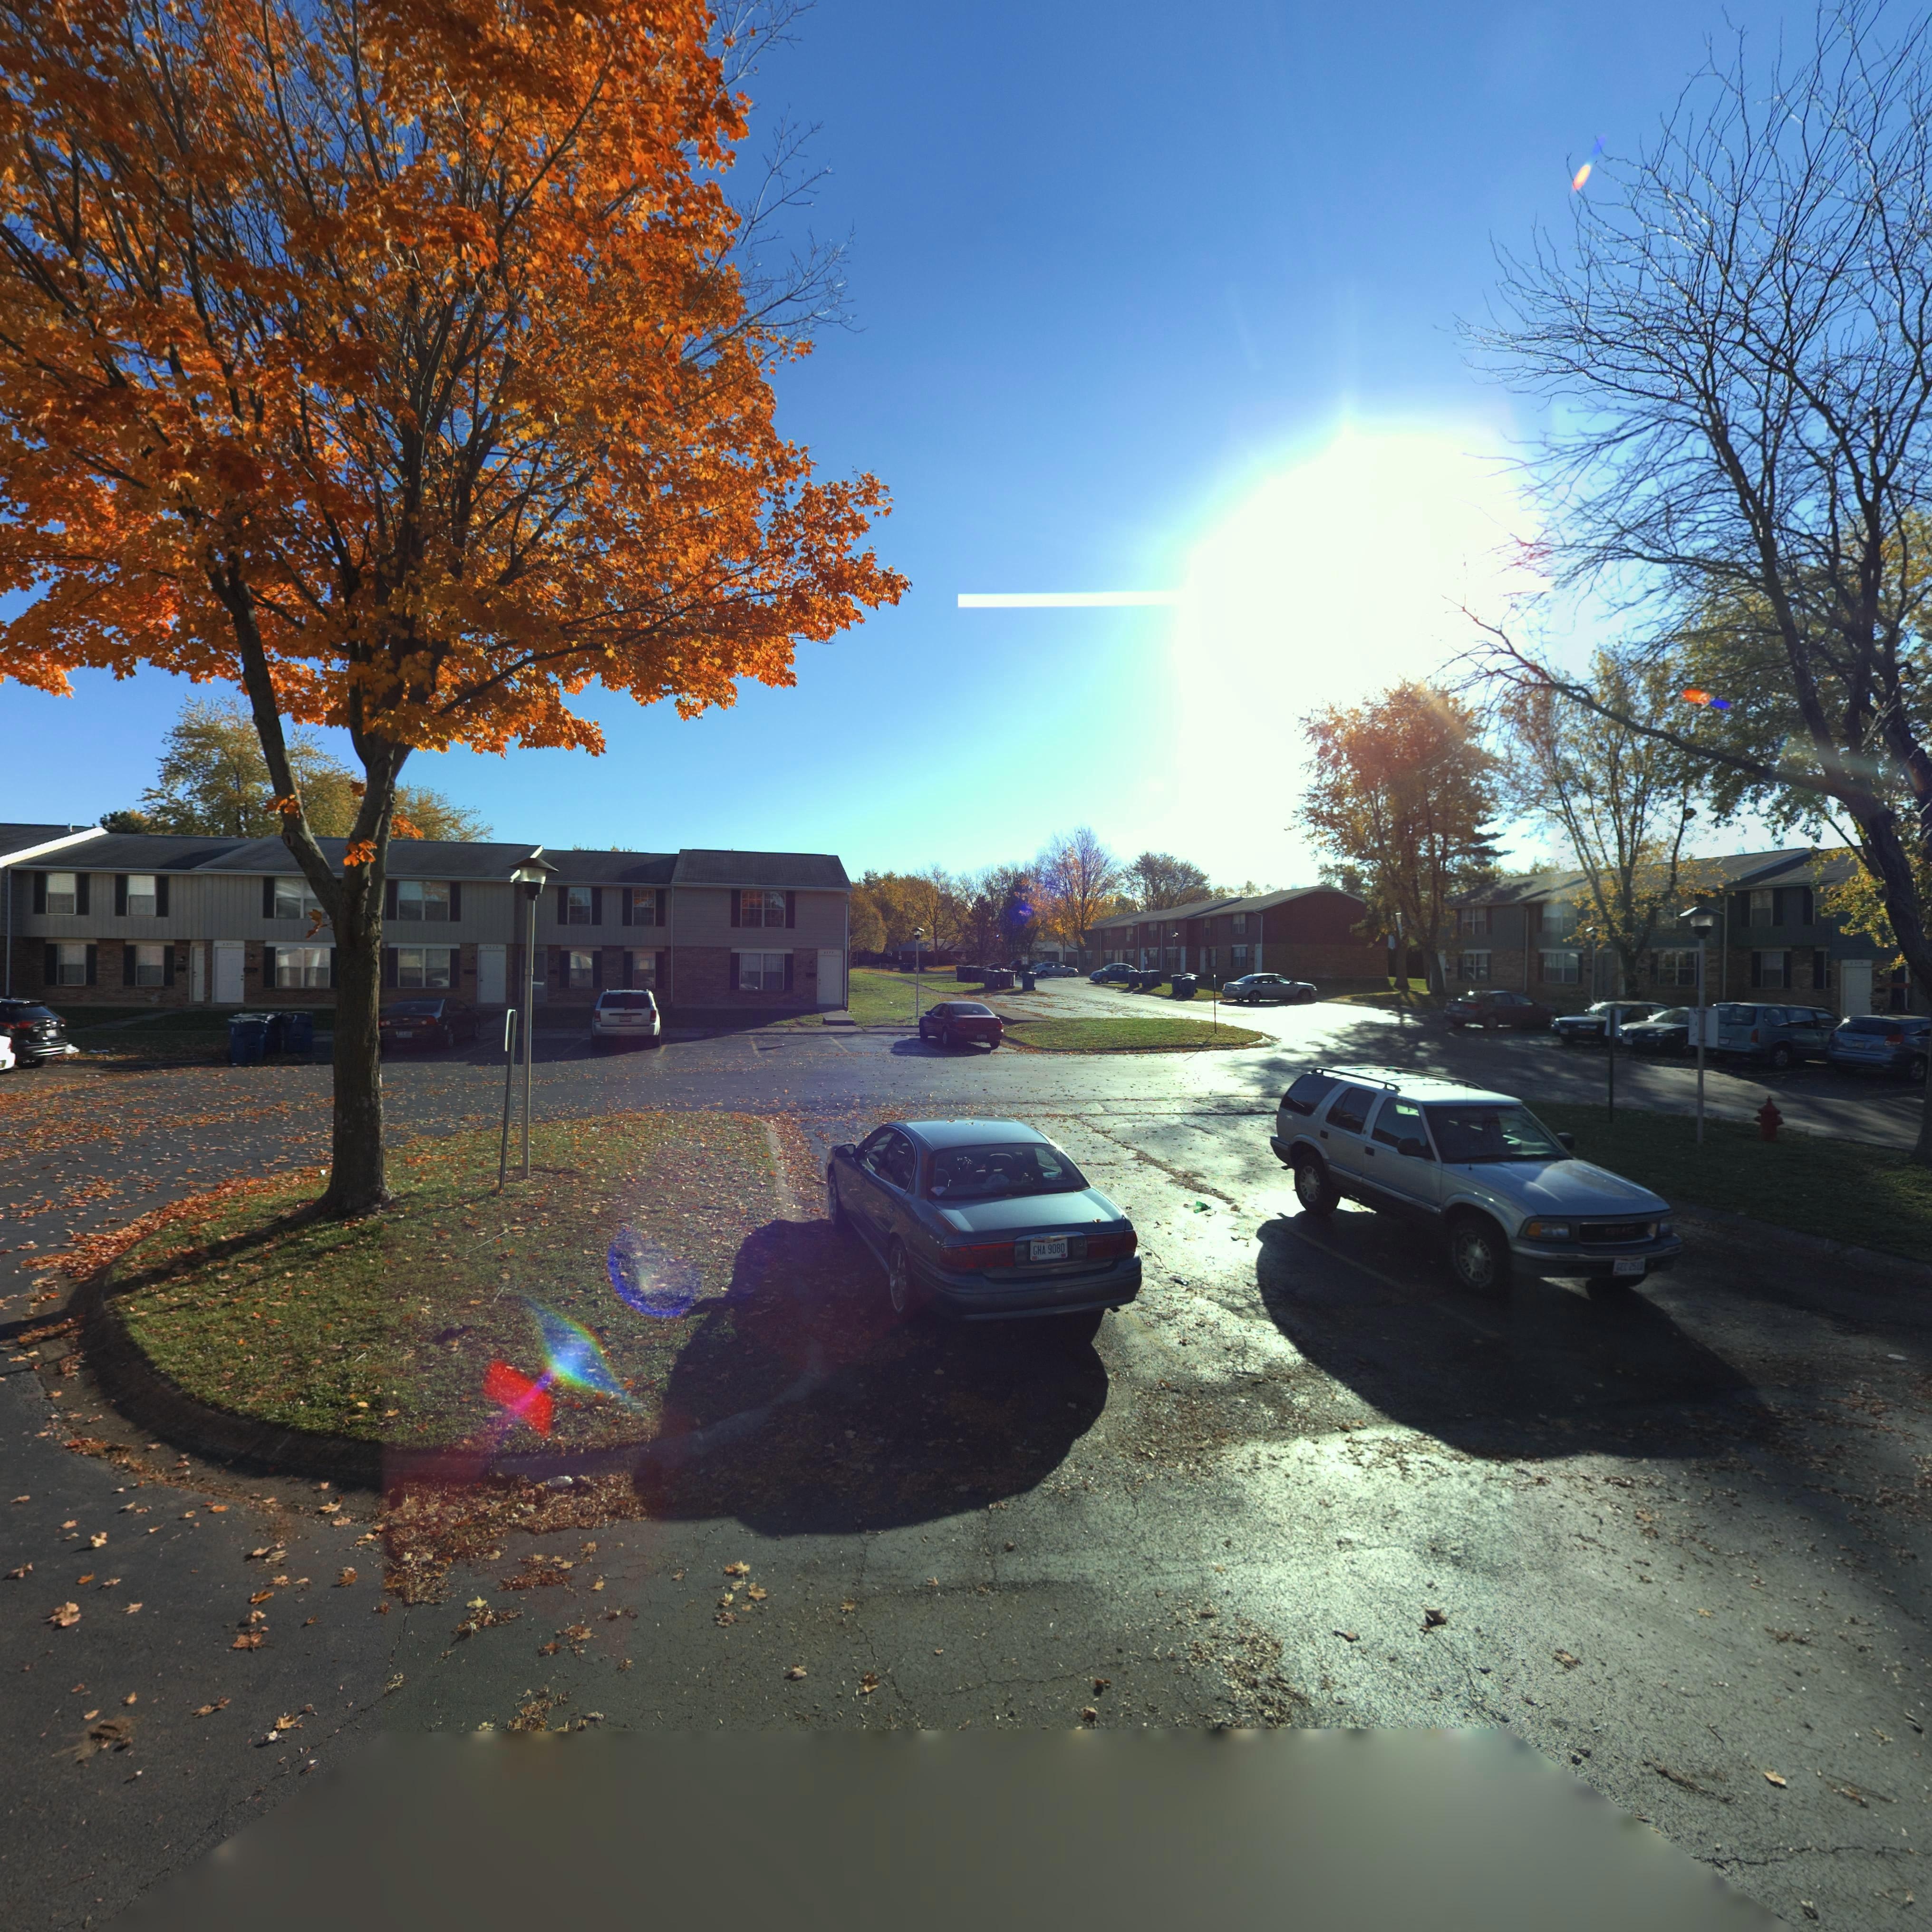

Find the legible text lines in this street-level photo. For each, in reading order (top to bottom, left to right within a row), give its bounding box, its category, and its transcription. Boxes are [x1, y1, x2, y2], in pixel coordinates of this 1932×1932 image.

[485, 945, 498, 949] StreetNumber: **73
[822, 950, 834, 955] StreetNumber: ***7